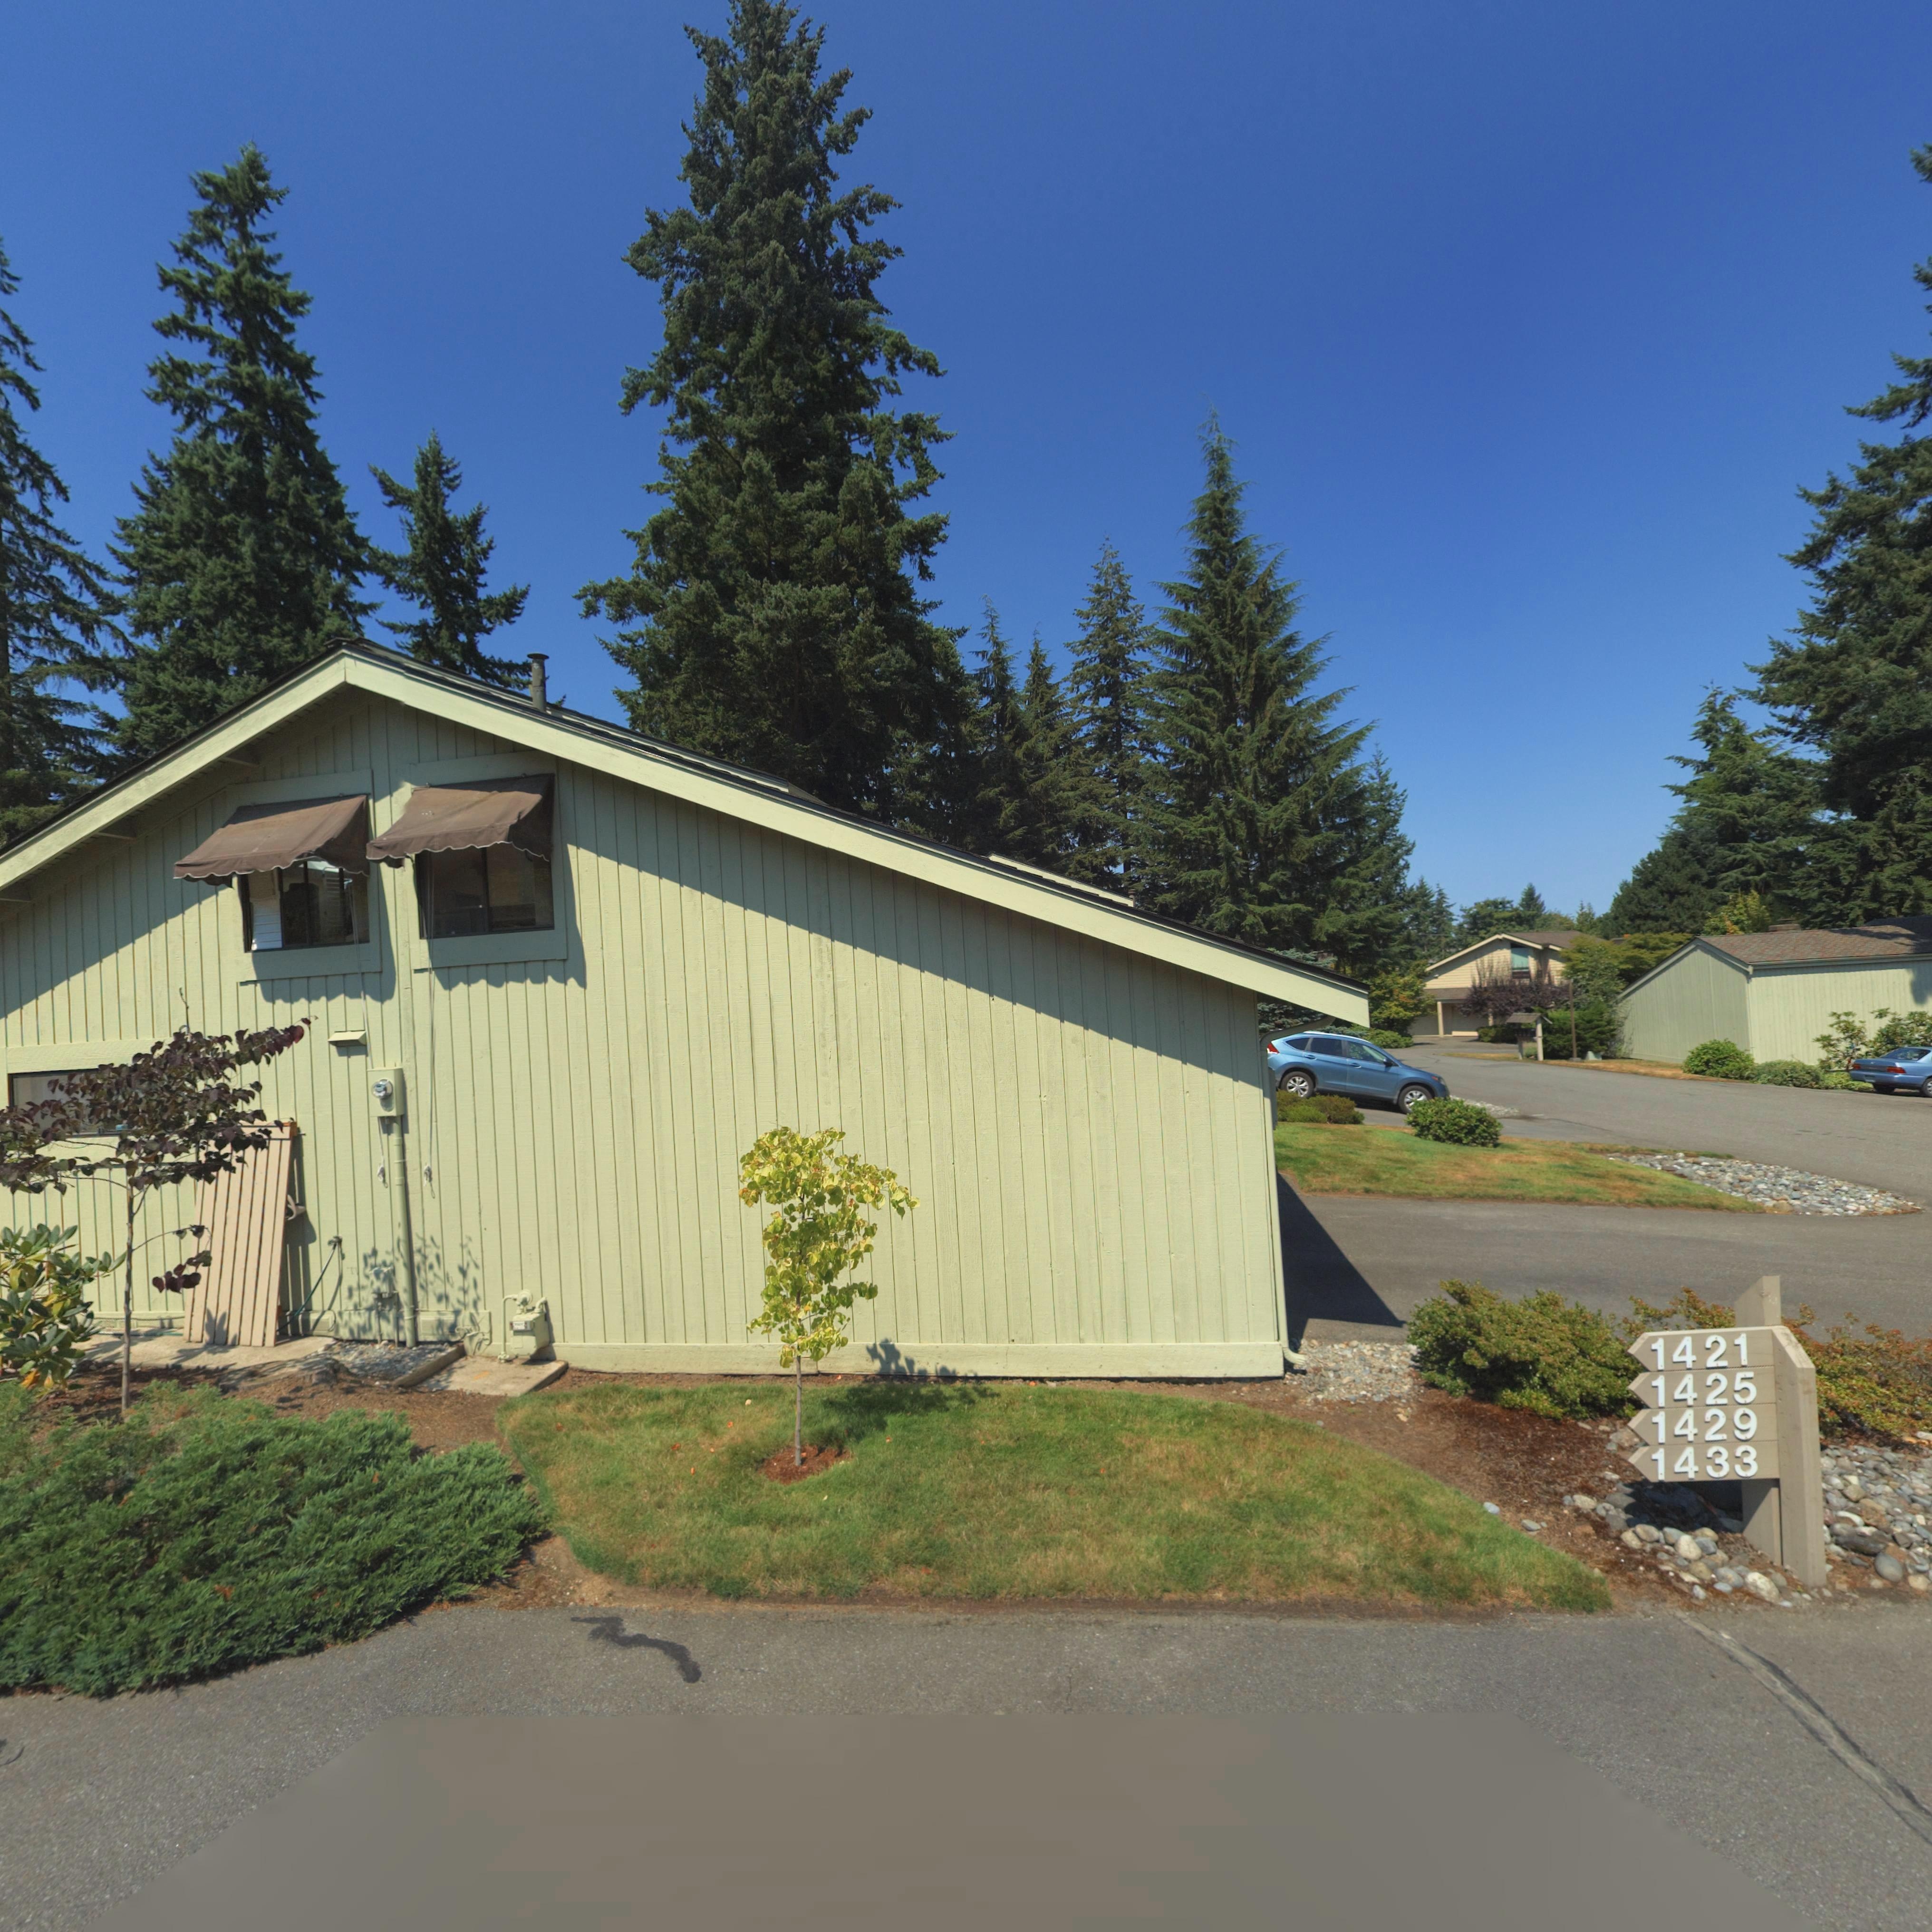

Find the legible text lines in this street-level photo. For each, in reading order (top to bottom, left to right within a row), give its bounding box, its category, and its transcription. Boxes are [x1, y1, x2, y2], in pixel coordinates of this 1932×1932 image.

[1651, 1332, 1748, 1370] StreetNumber: 1424
[1652, 1371, 1757, 1406] StreetNumber: 1425
[1652, 1406, 1758, 1442] StreetNumber: 1429
[1652, 1444, 1758, 1479] StreetNumber: 1433